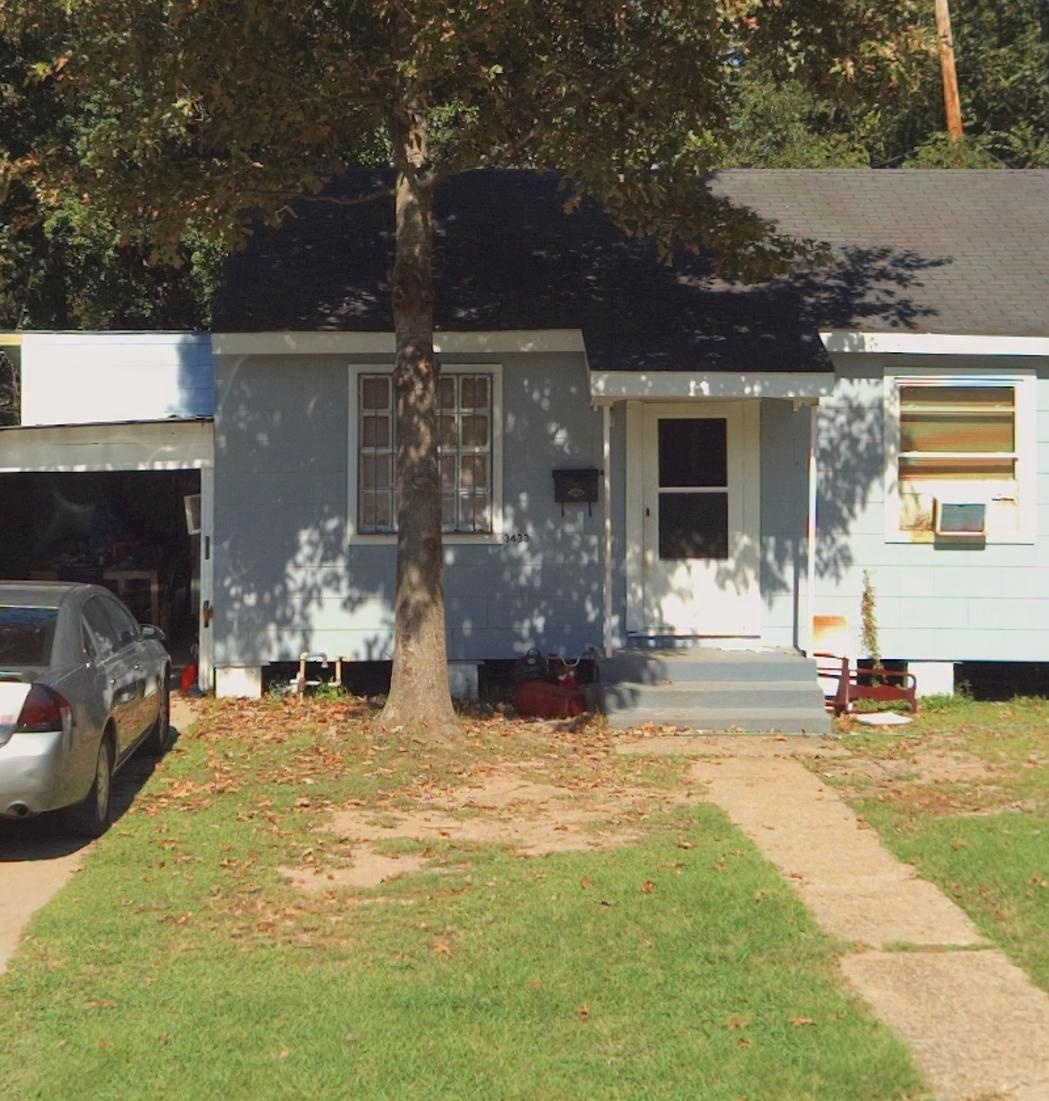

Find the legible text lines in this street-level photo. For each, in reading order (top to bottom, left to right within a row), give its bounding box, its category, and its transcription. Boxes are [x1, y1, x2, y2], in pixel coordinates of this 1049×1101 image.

[503, 532, 532, 544] StreetNumber: 3433